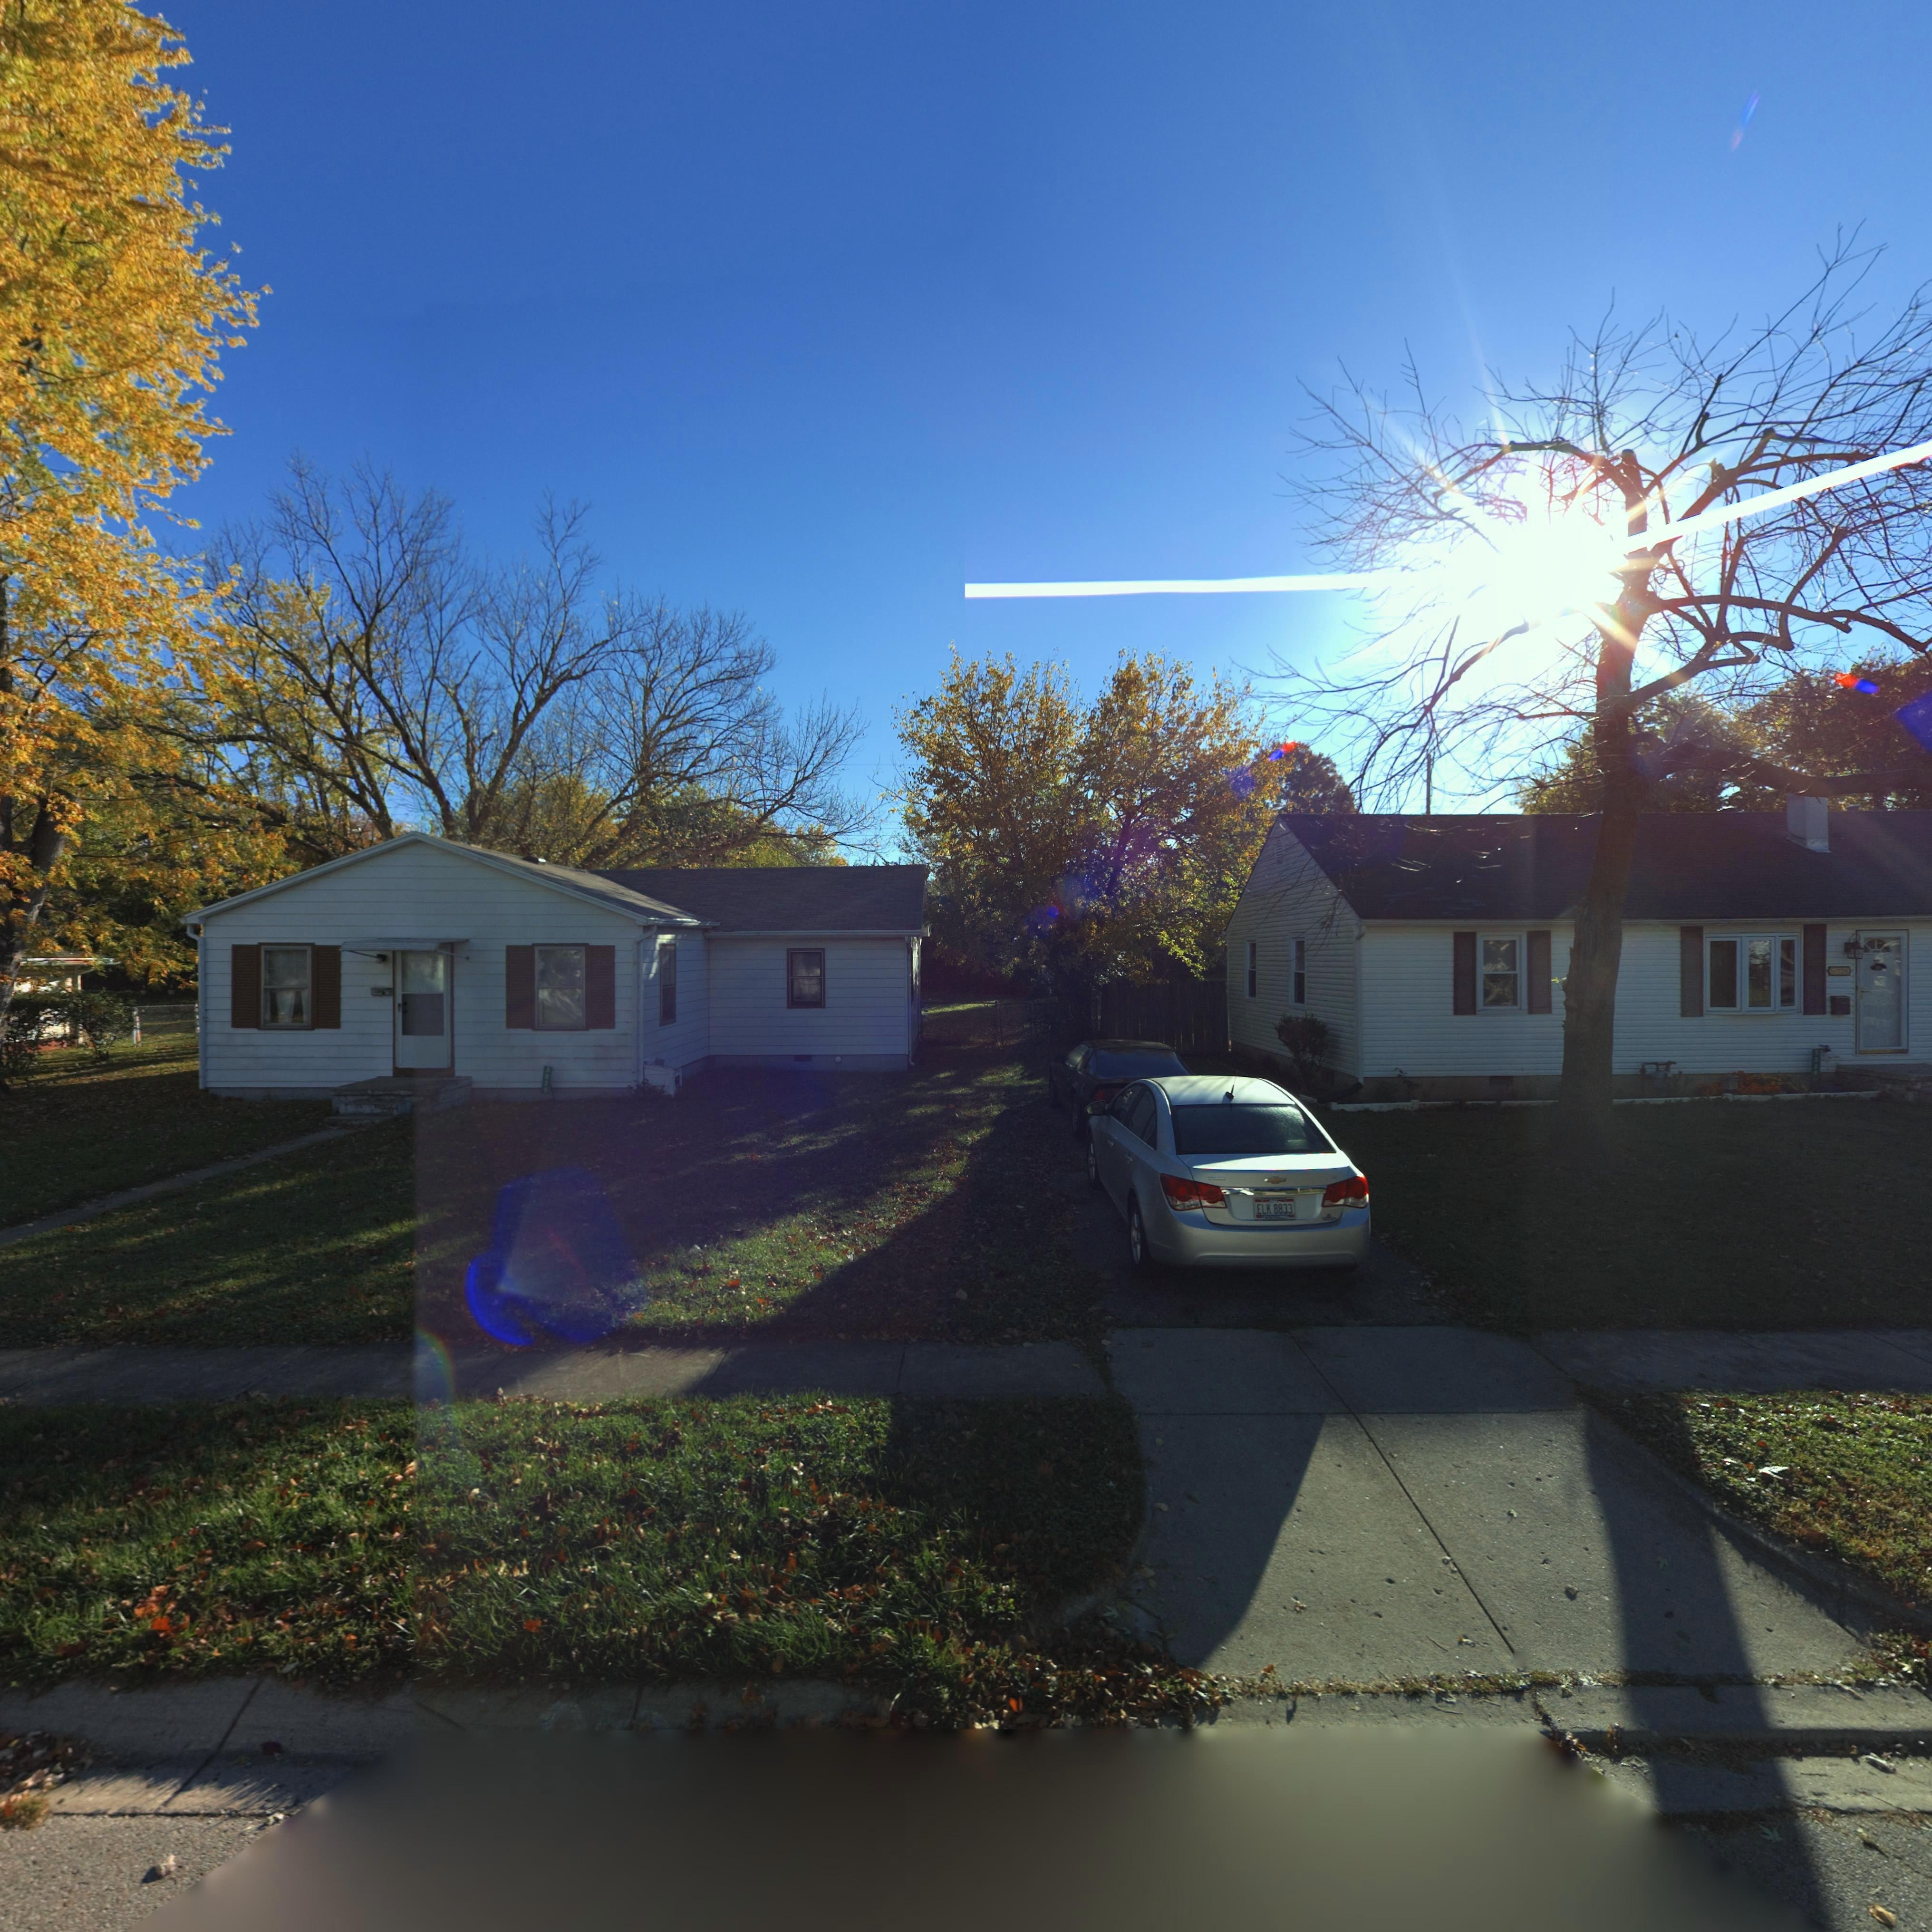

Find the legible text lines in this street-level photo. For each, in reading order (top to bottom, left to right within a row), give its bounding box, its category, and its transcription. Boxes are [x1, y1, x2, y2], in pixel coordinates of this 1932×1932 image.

[1830, 967, 1849, 975] StreetNumber: 5**4
[1813, 1049, 1819, 1075] StreetNumber: 502*
[542, 1066, 551, 1093] StreetNumber: 5020